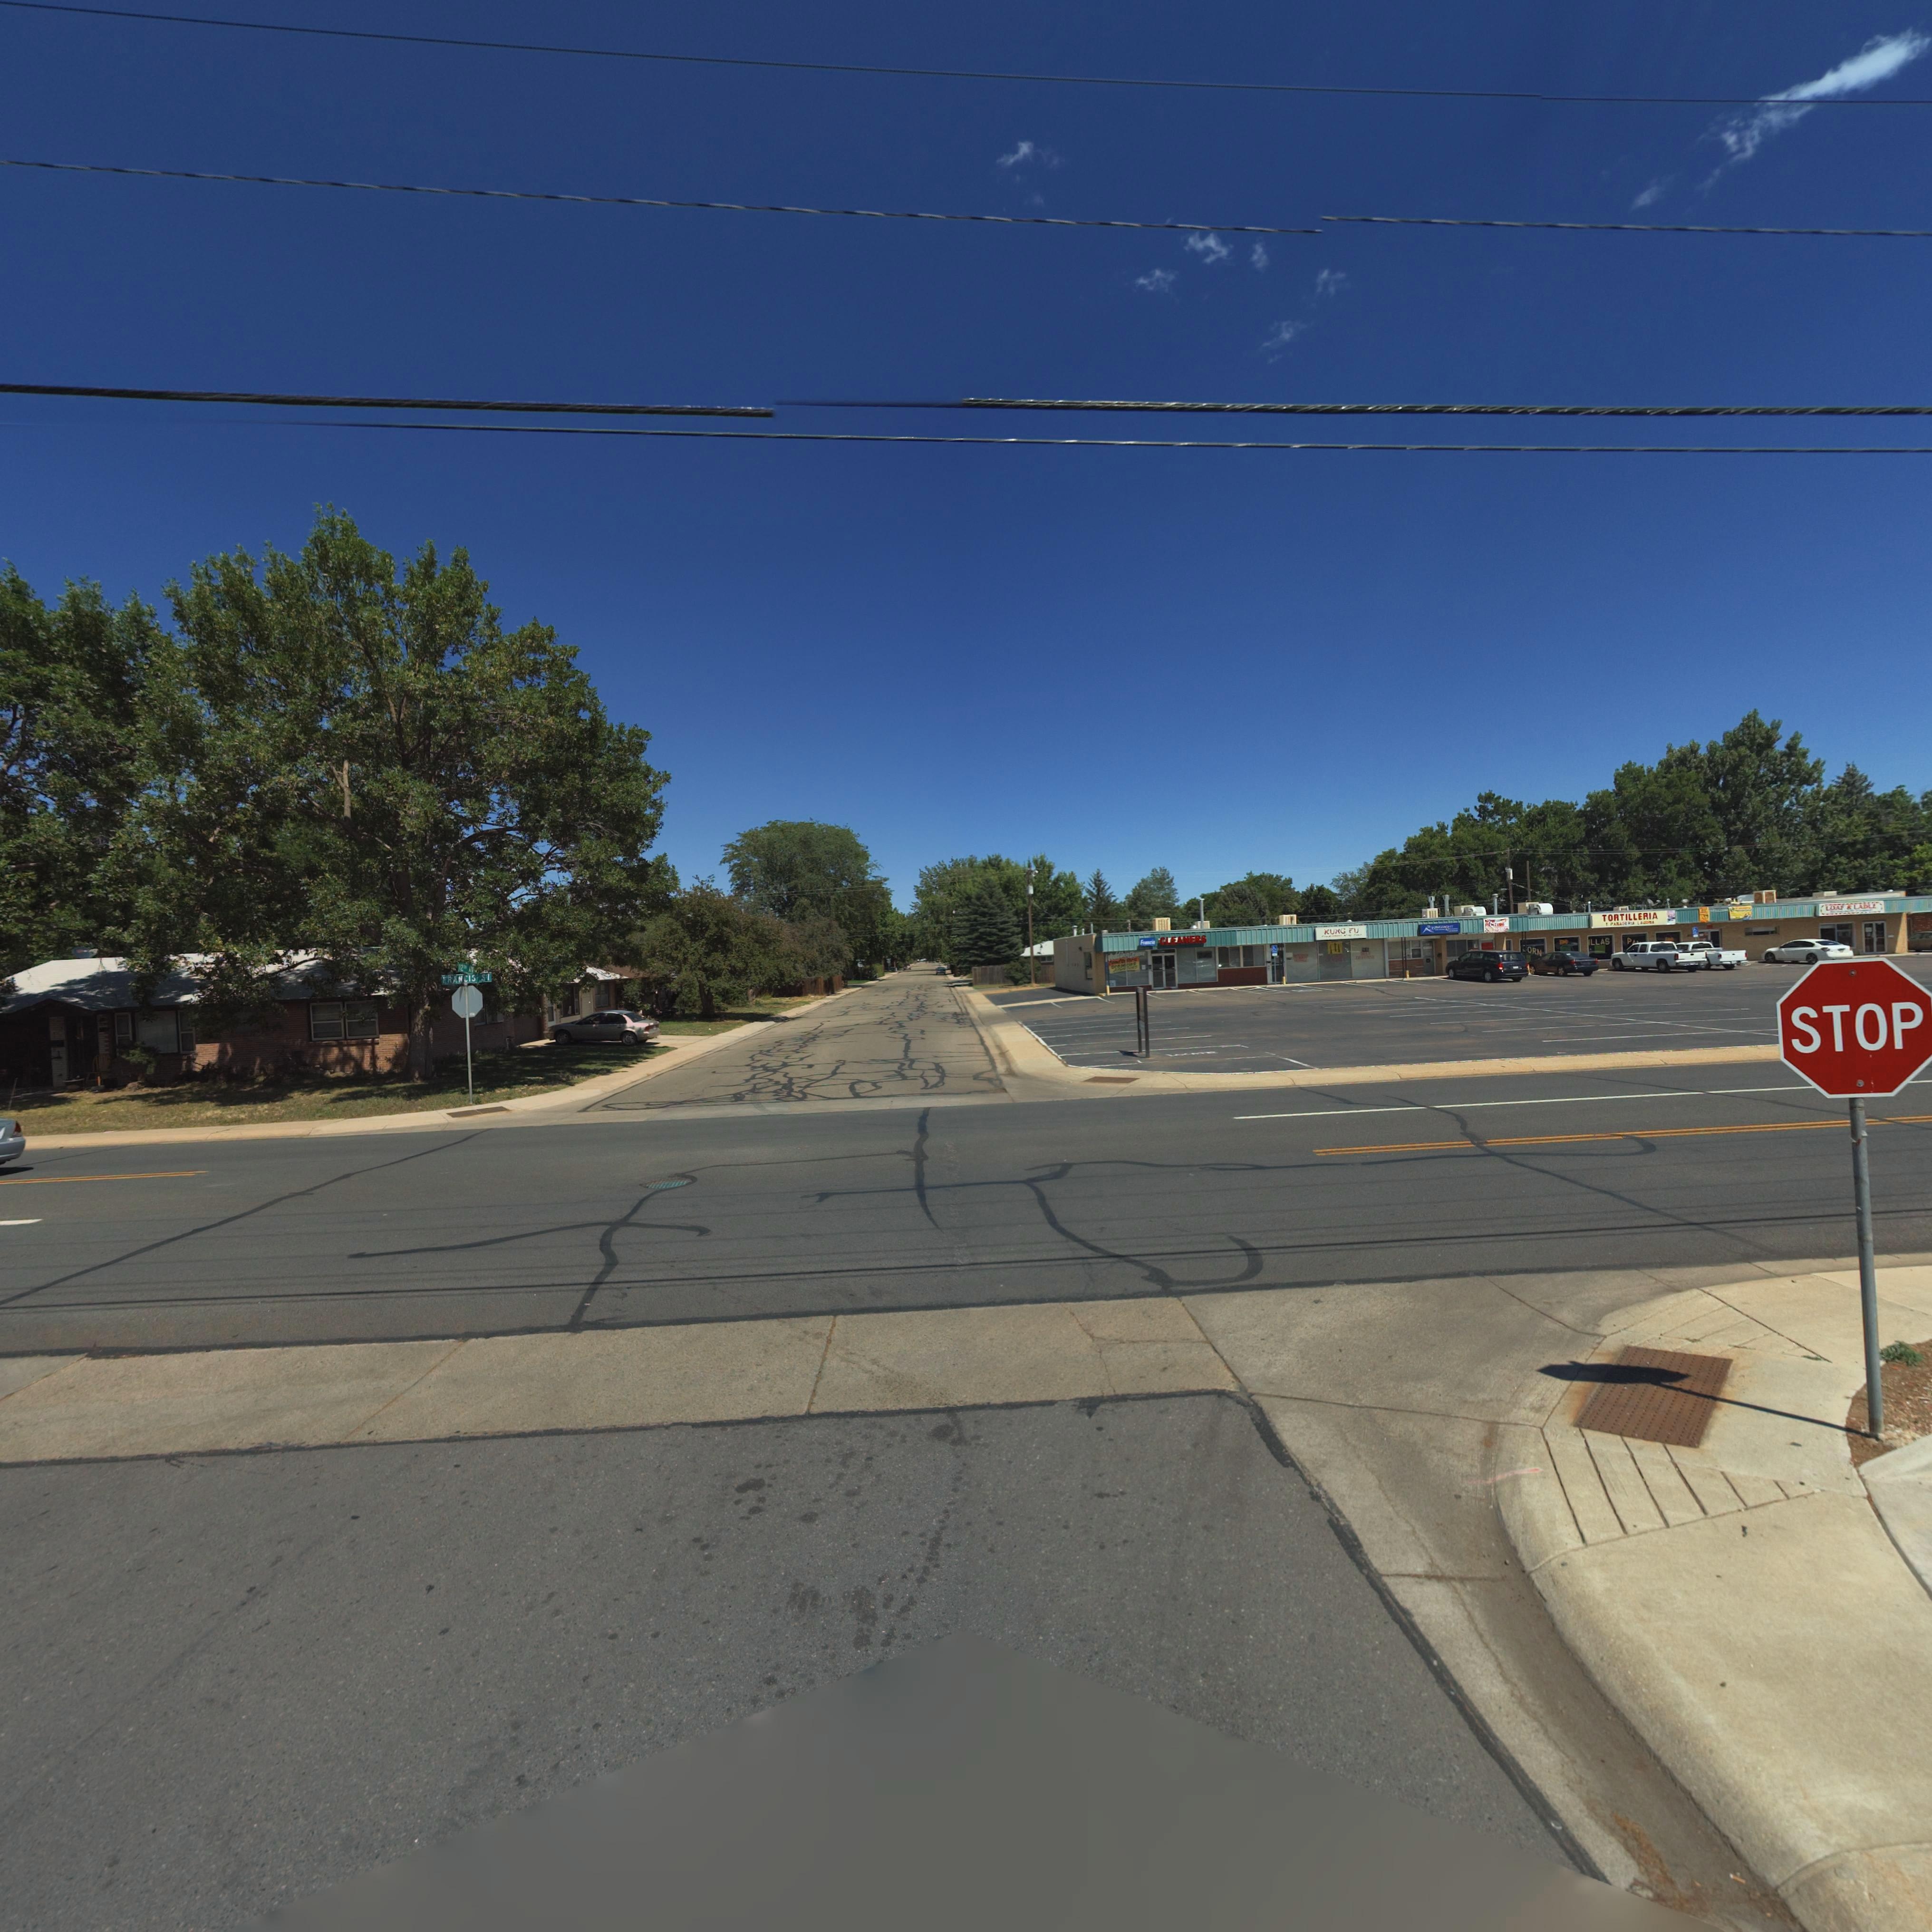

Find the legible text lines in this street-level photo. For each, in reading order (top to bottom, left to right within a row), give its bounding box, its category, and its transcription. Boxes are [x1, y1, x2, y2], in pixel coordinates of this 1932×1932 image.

[1824, 903, 1876, 911] BusinessName: LOAF * LABLE
[1601, 911, 1659, 922] BusinessName: TORTILLERIA
[1324, 927, 1359, 935] BusinessName: KUNG FU
[1140, 938, 1155, 945] BusinessName: Francis
[1159, 934, 1207, 945] BusinessName: CLEANERS
[458, 963, 468, 972] StreetName: 12th
[442, 973, 491, 984] StreetName: FRANCIS ST
[1790, 1001, 1924, 1053] BusinessName: STOP